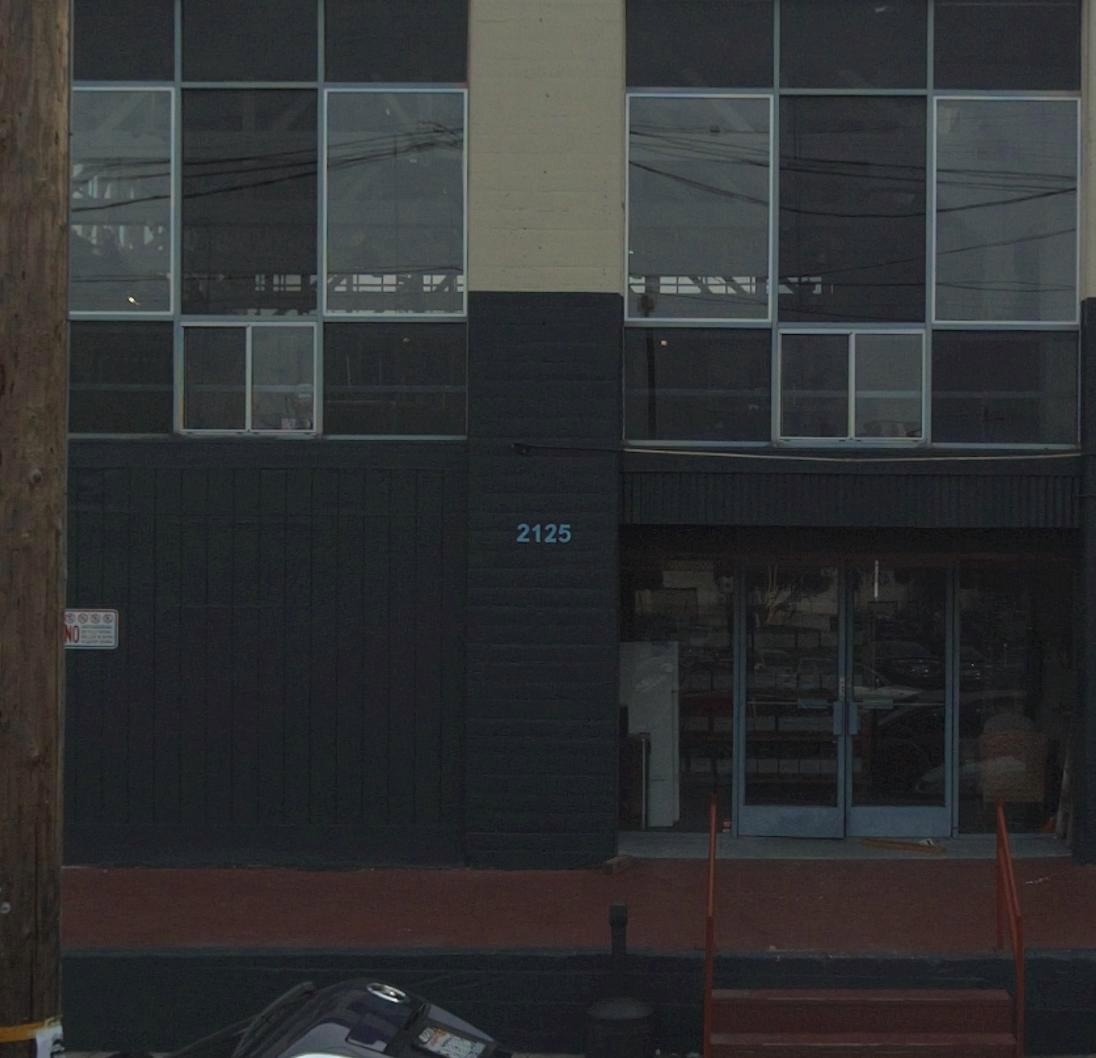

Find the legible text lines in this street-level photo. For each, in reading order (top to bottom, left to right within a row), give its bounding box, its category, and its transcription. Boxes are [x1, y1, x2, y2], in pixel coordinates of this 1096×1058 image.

[515, 522, 573, 545] StreetNumber: 2125
[65, 624, 81, 644] None: NO